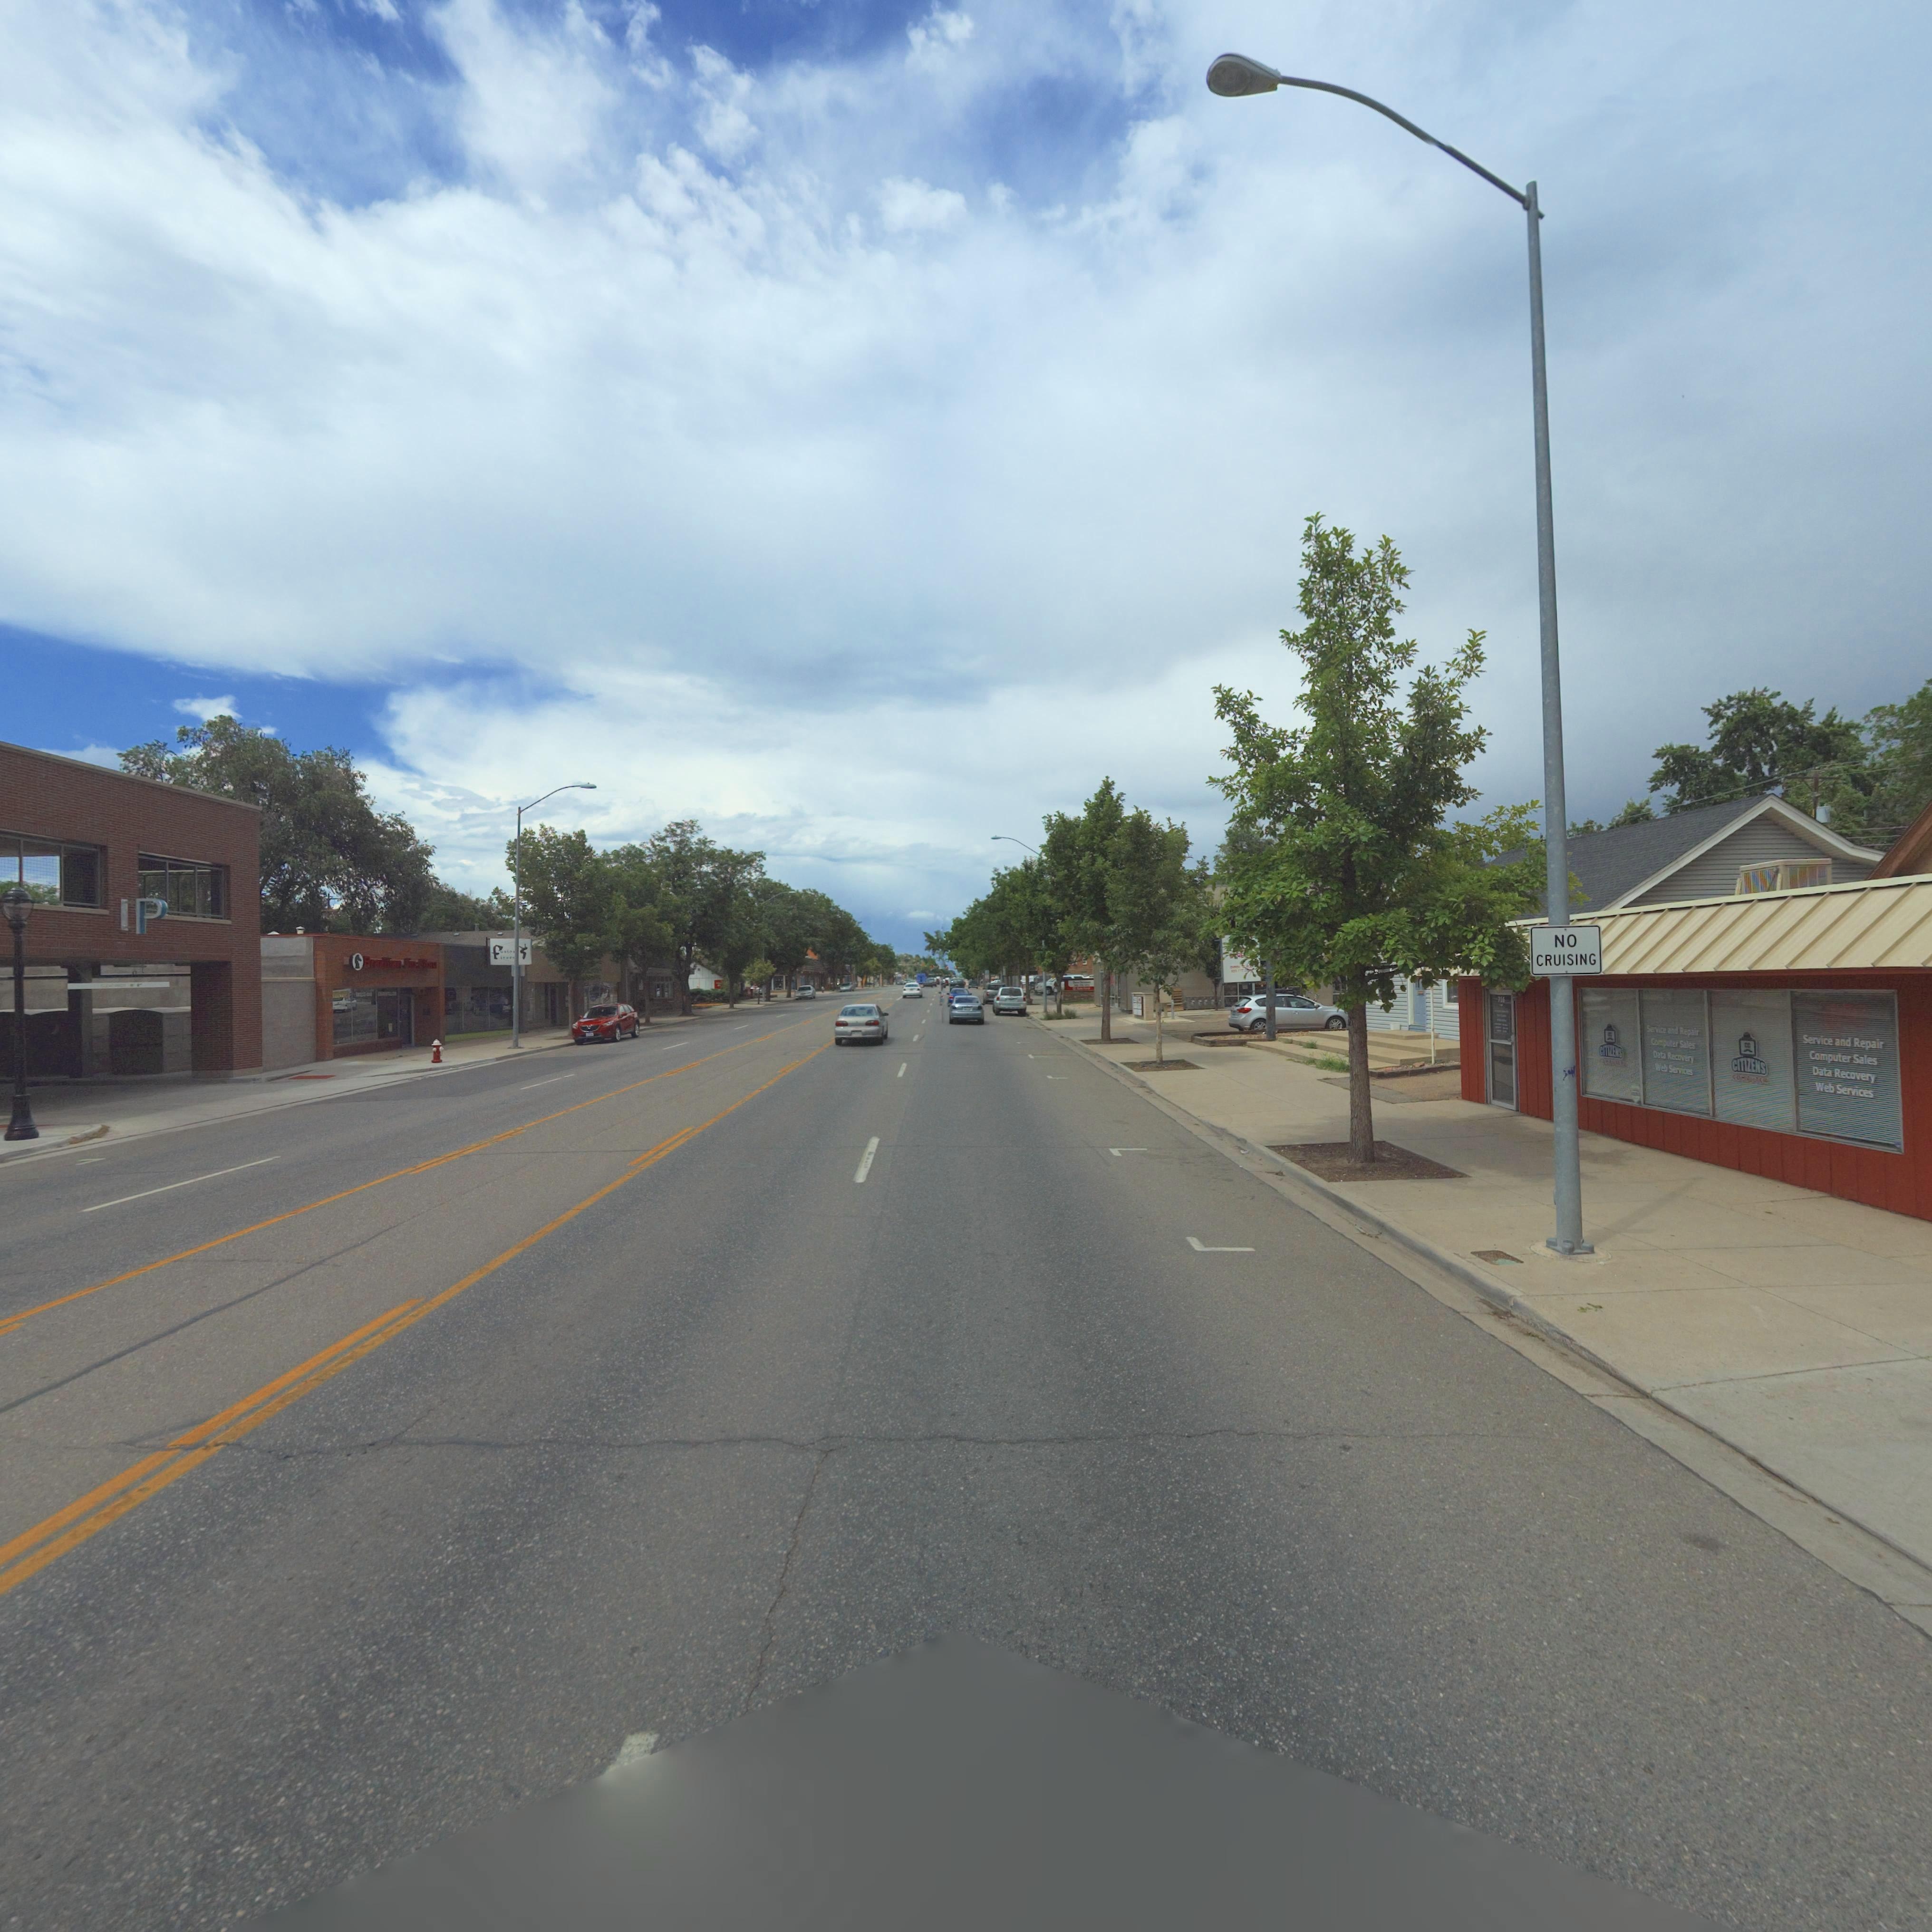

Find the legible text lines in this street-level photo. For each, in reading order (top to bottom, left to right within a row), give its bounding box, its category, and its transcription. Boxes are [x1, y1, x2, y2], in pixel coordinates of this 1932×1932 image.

[491, 945, 503, 959] BusinessName: F
[499, 950, 516, 953] BusinessName: usio*
[1497, 996, 1505, 1003] StreetNumber: 71*
[1599, 1043, 1622, 1058] BusinessName: CITIZENS
[1730, 1056, 1766, 1075] BusinessName: CITIZENS
[1730, 1074, 1768, 1084] BusinessName: COMPUTER